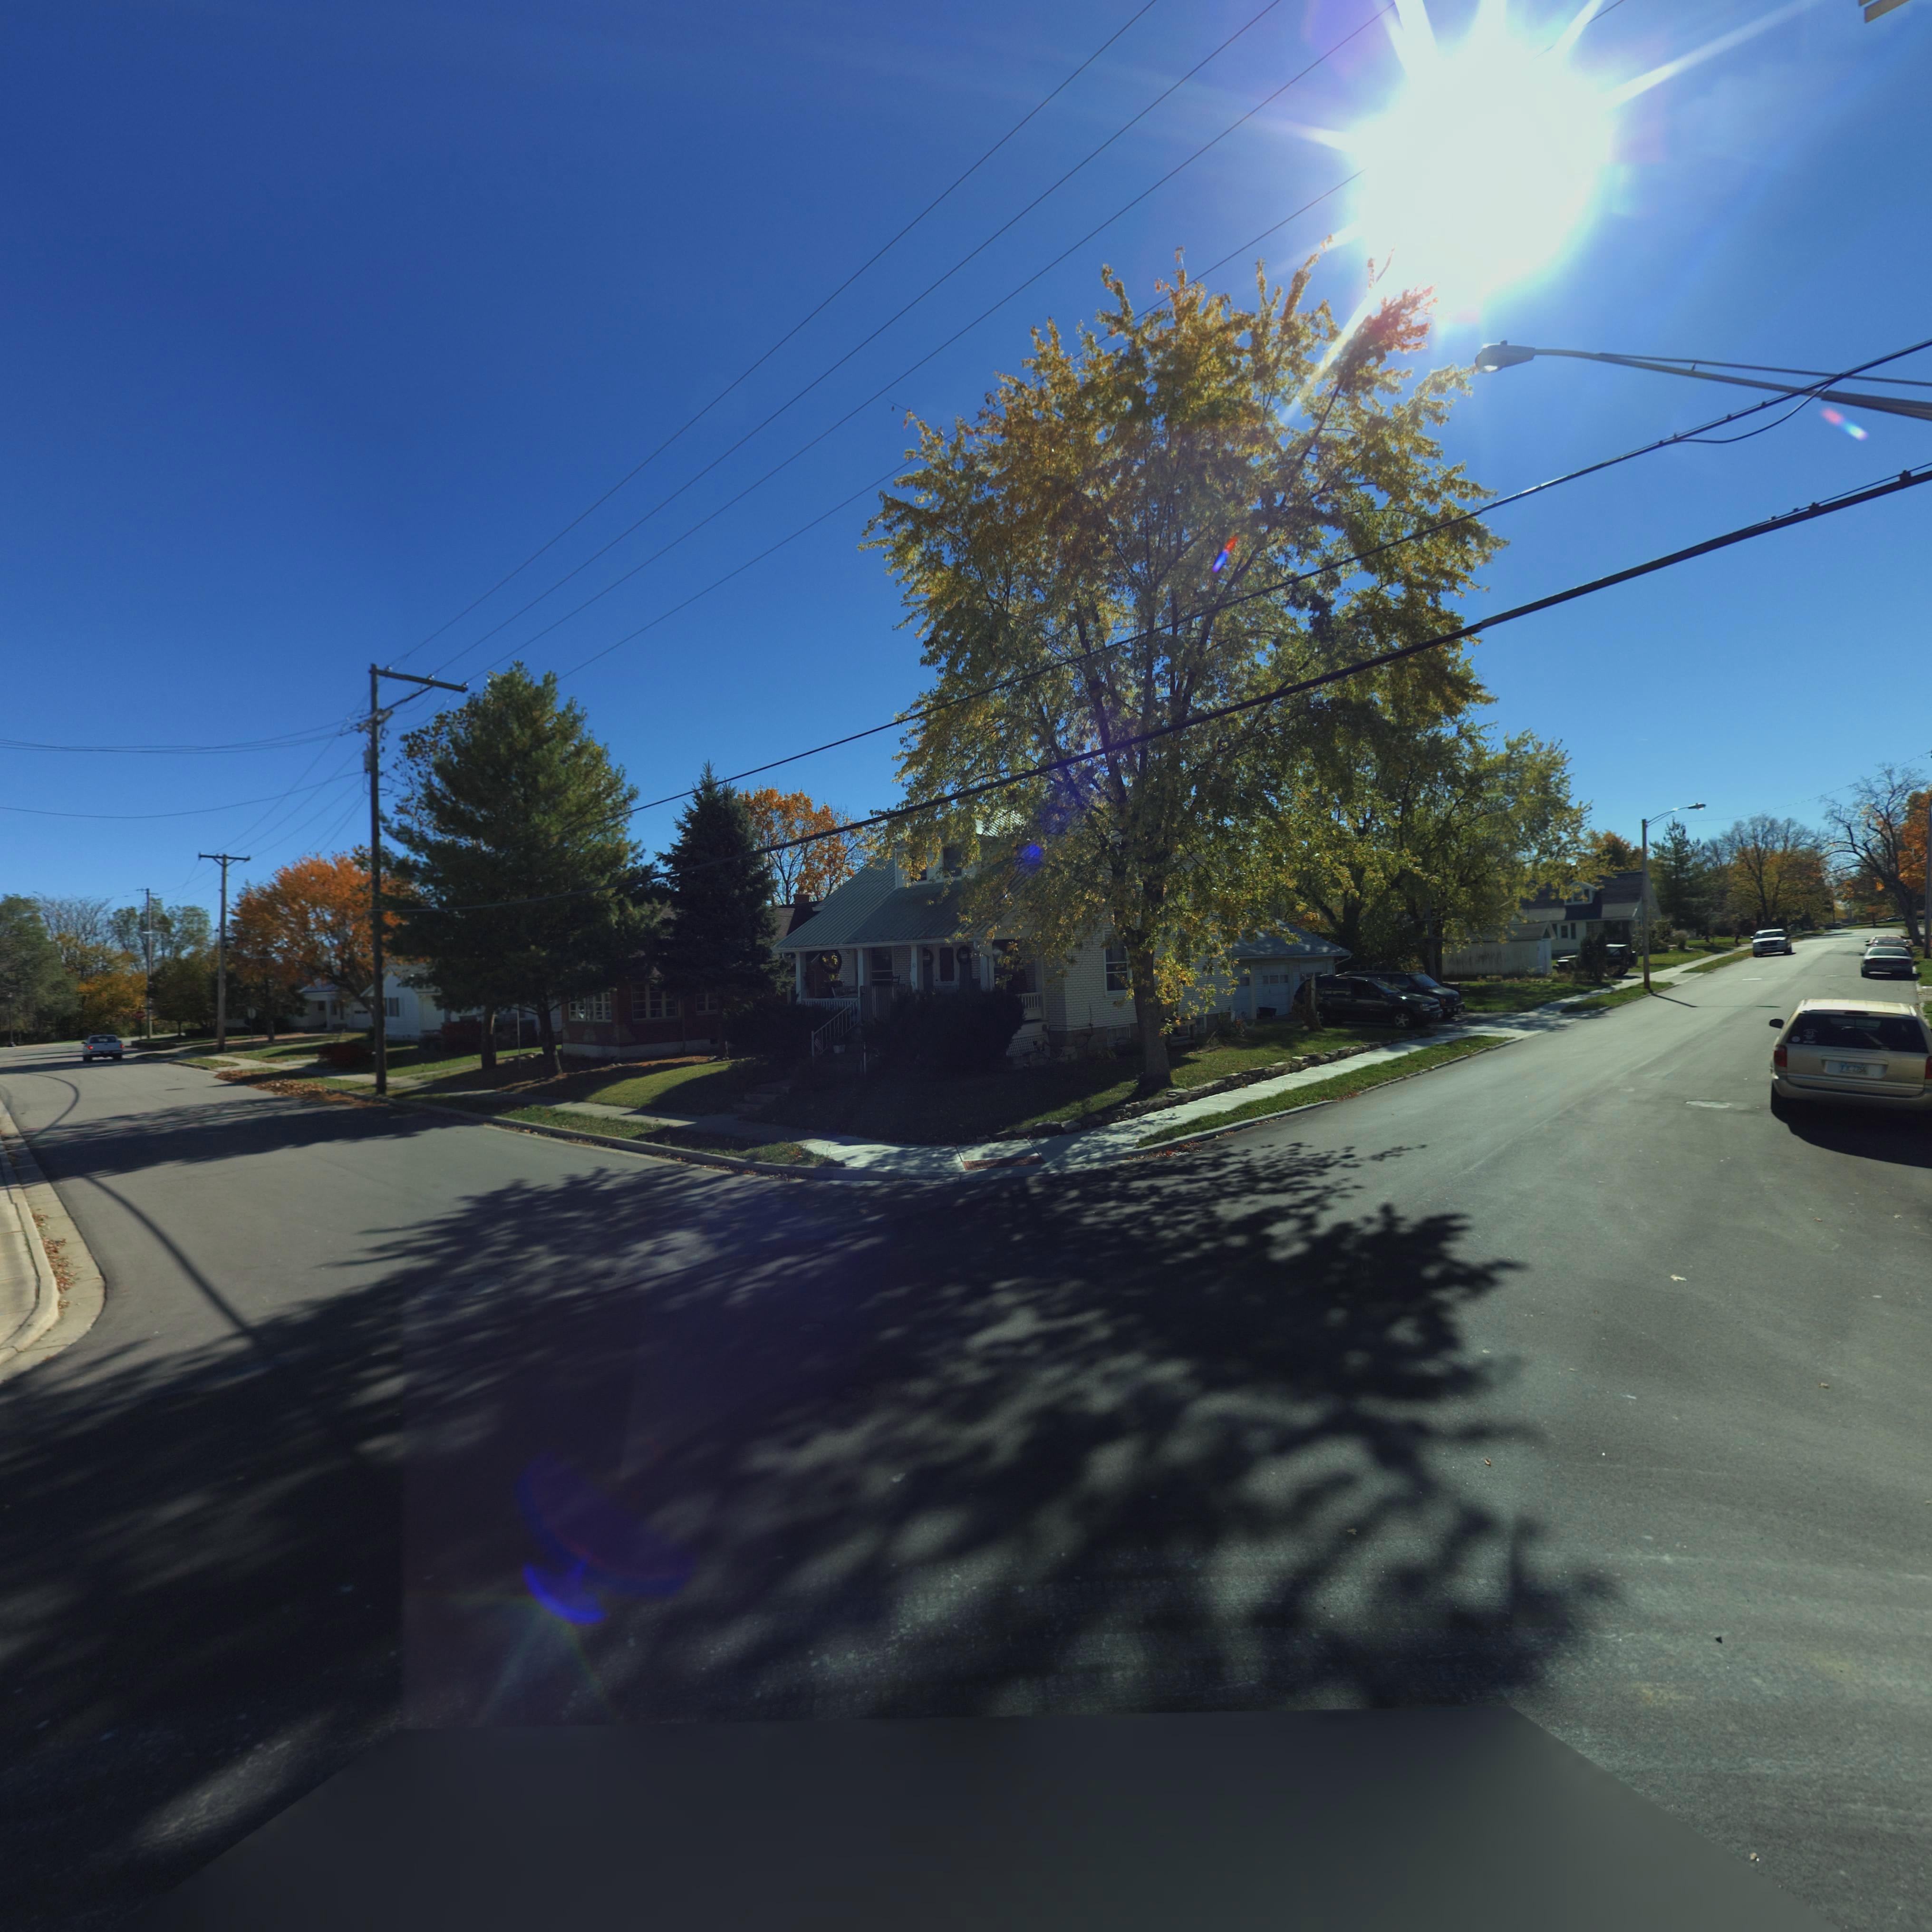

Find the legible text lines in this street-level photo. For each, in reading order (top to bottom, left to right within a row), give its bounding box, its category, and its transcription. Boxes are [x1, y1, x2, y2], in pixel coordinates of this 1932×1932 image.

[911, 963, 917, 968] StreetNumber: *0
[1852, 1065, 1867, 1074] None: 2756